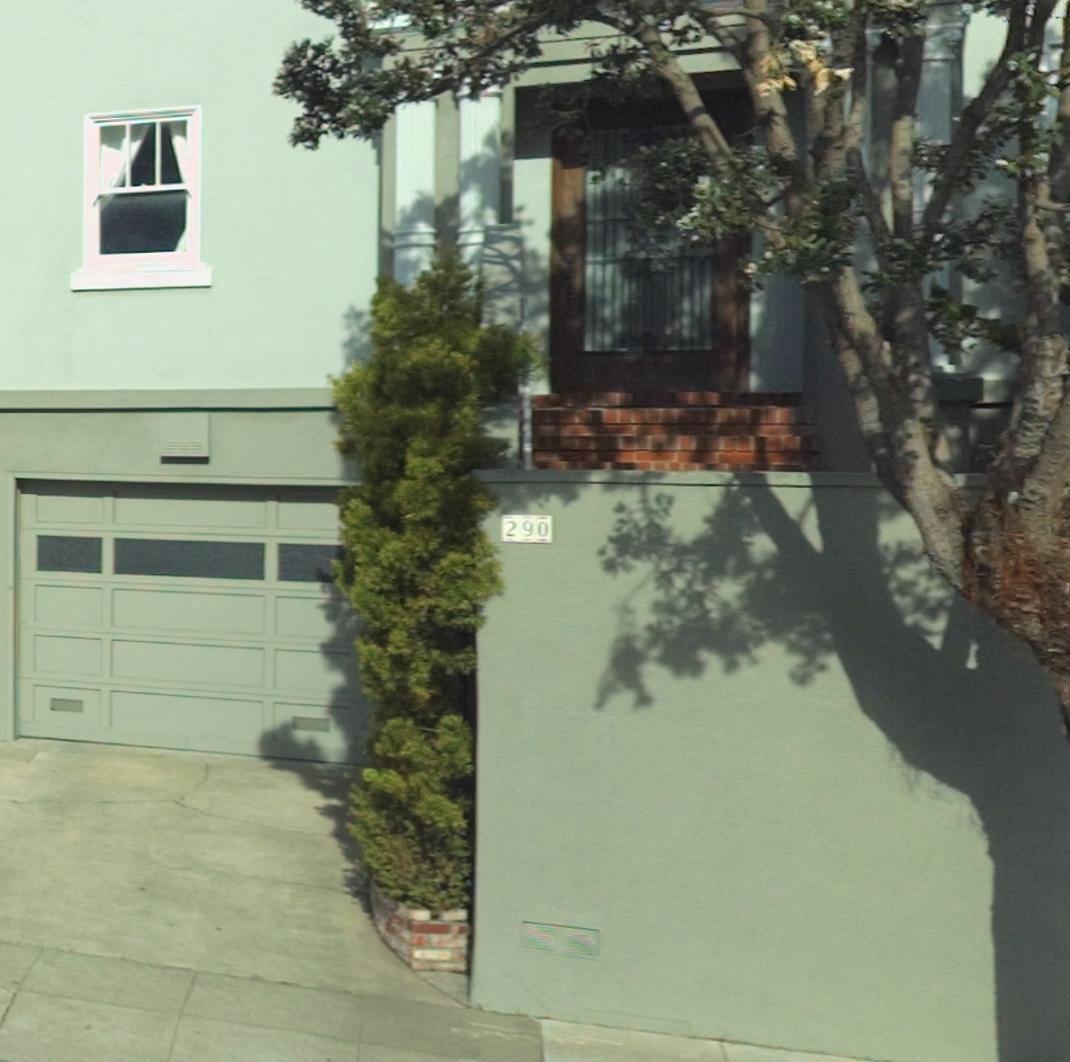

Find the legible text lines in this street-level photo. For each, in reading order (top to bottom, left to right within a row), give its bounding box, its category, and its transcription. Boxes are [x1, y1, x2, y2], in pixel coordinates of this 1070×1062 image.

[504, 519, 549, 537] StreetNumber: 290